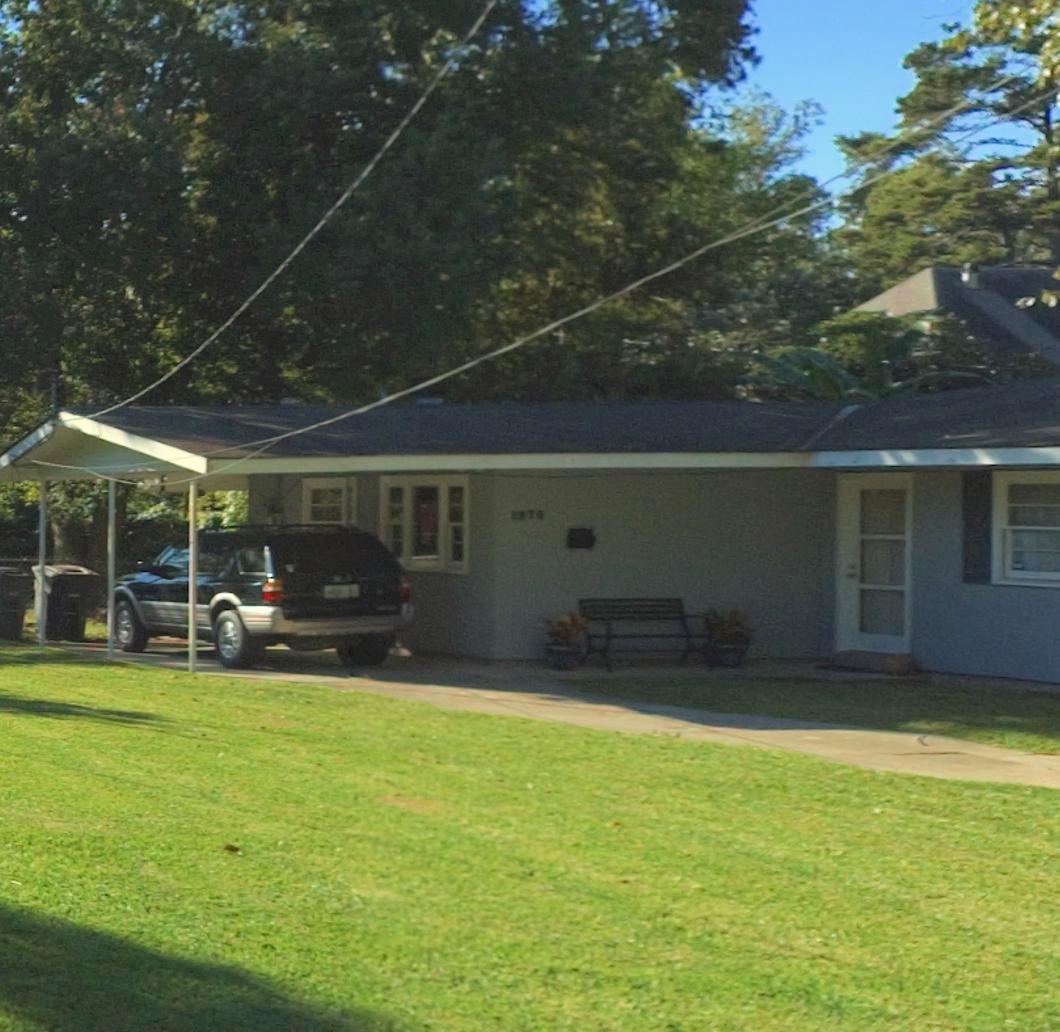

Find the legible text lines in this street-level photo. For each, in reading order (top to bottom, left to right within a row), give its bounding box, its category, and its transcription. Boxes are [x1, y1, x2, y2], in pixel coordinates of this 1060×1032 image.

[508, 508, 546, 522] StreetNumber: **70